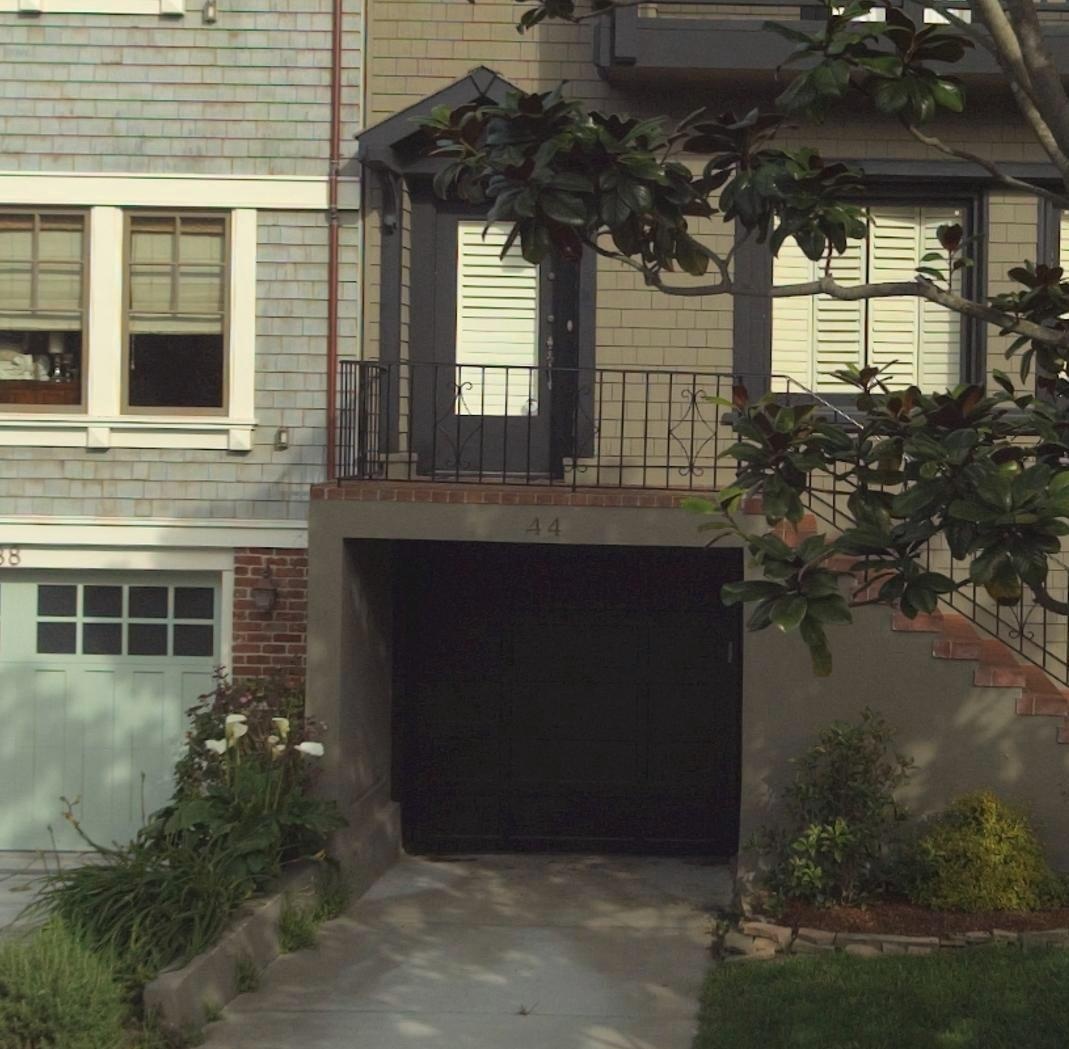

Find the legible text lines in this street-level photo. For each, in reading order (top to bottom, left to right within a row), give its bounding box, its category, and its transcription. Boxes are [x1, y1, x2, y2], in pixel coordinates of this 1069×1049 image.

[524, 513, 562, 537] StreetNumber: 44
[6, 544, 23, 568] StreetNumber: 8